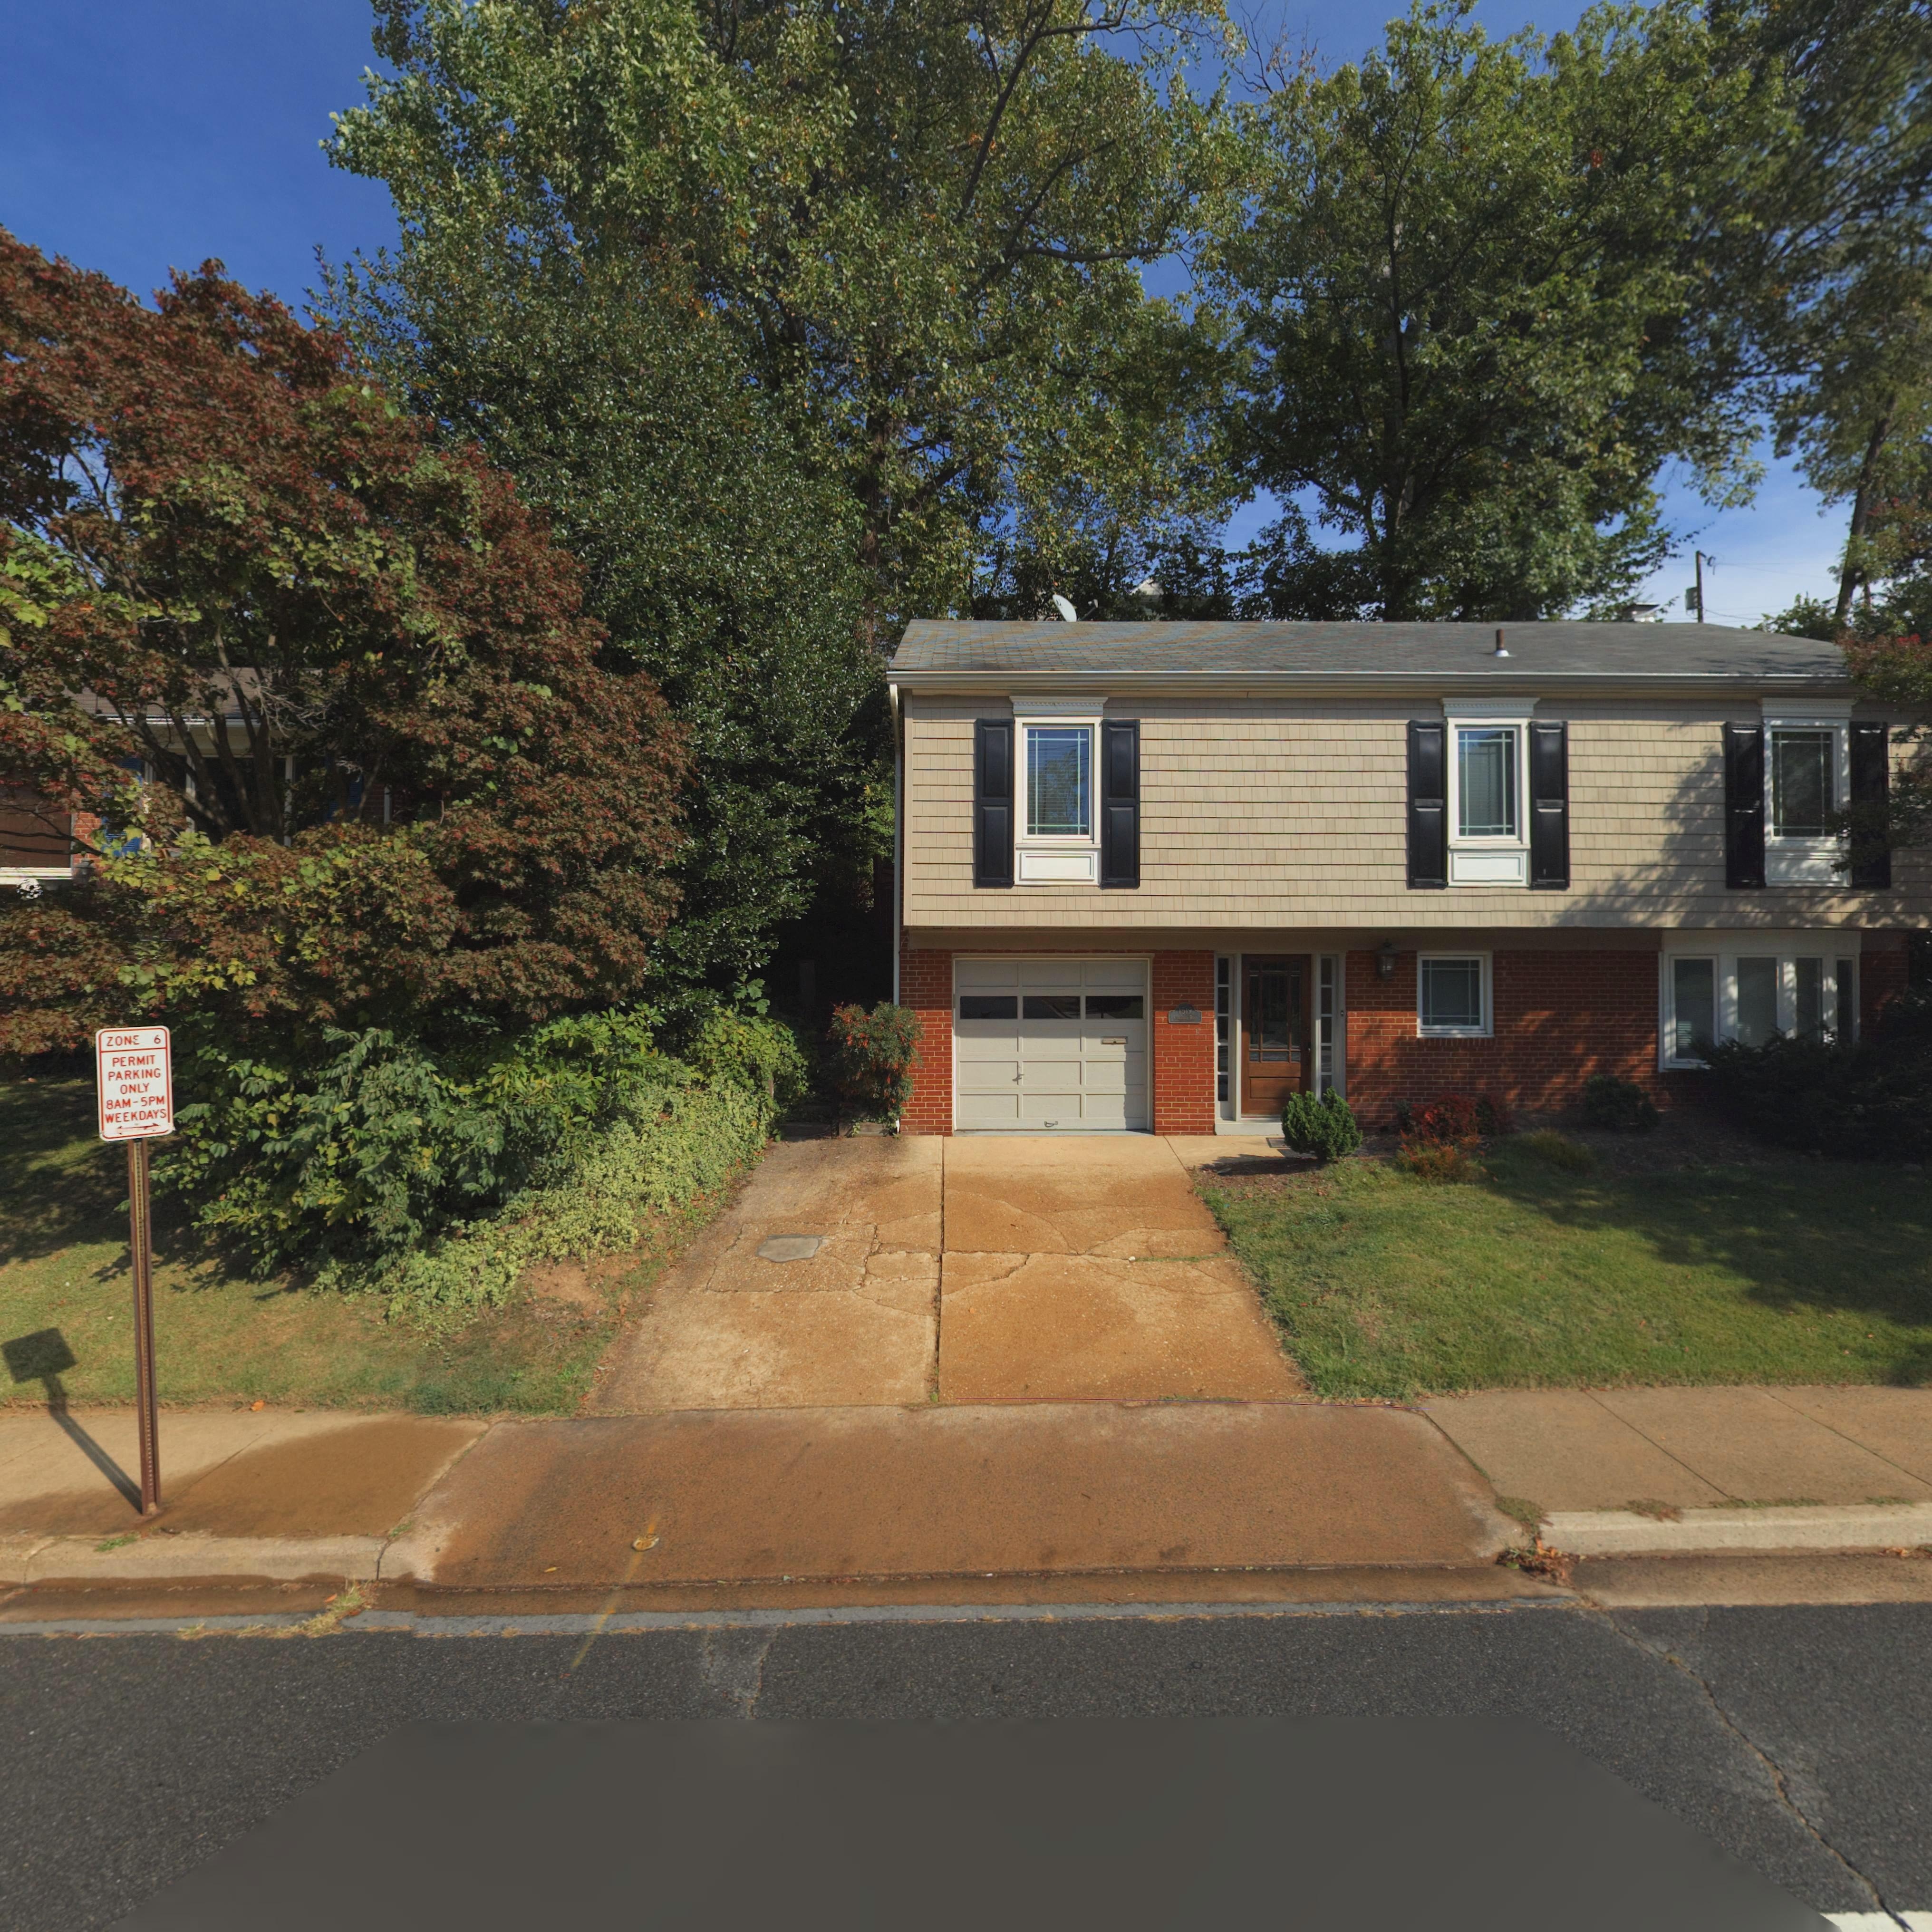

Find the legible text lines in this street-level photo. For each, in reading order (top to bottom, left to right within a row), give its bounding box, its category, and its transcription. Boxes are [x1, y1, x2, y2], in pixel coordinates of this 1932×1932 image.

[1178, 1006, 1193, 1015] StreetNumber: 1519
[104, 1033, 164, 1048] None: ZONE 6
[110, 1053, 157, 1069] None: PERMIT
[106, 1065, 163, 1083] None: PARKING
[118, 1080, 153, 1097] None: ONLY
[105, 1092, 167, 1111] None: 8AM - 5PM
[103, 1106, 168, 1125] None: WEEKDAYS